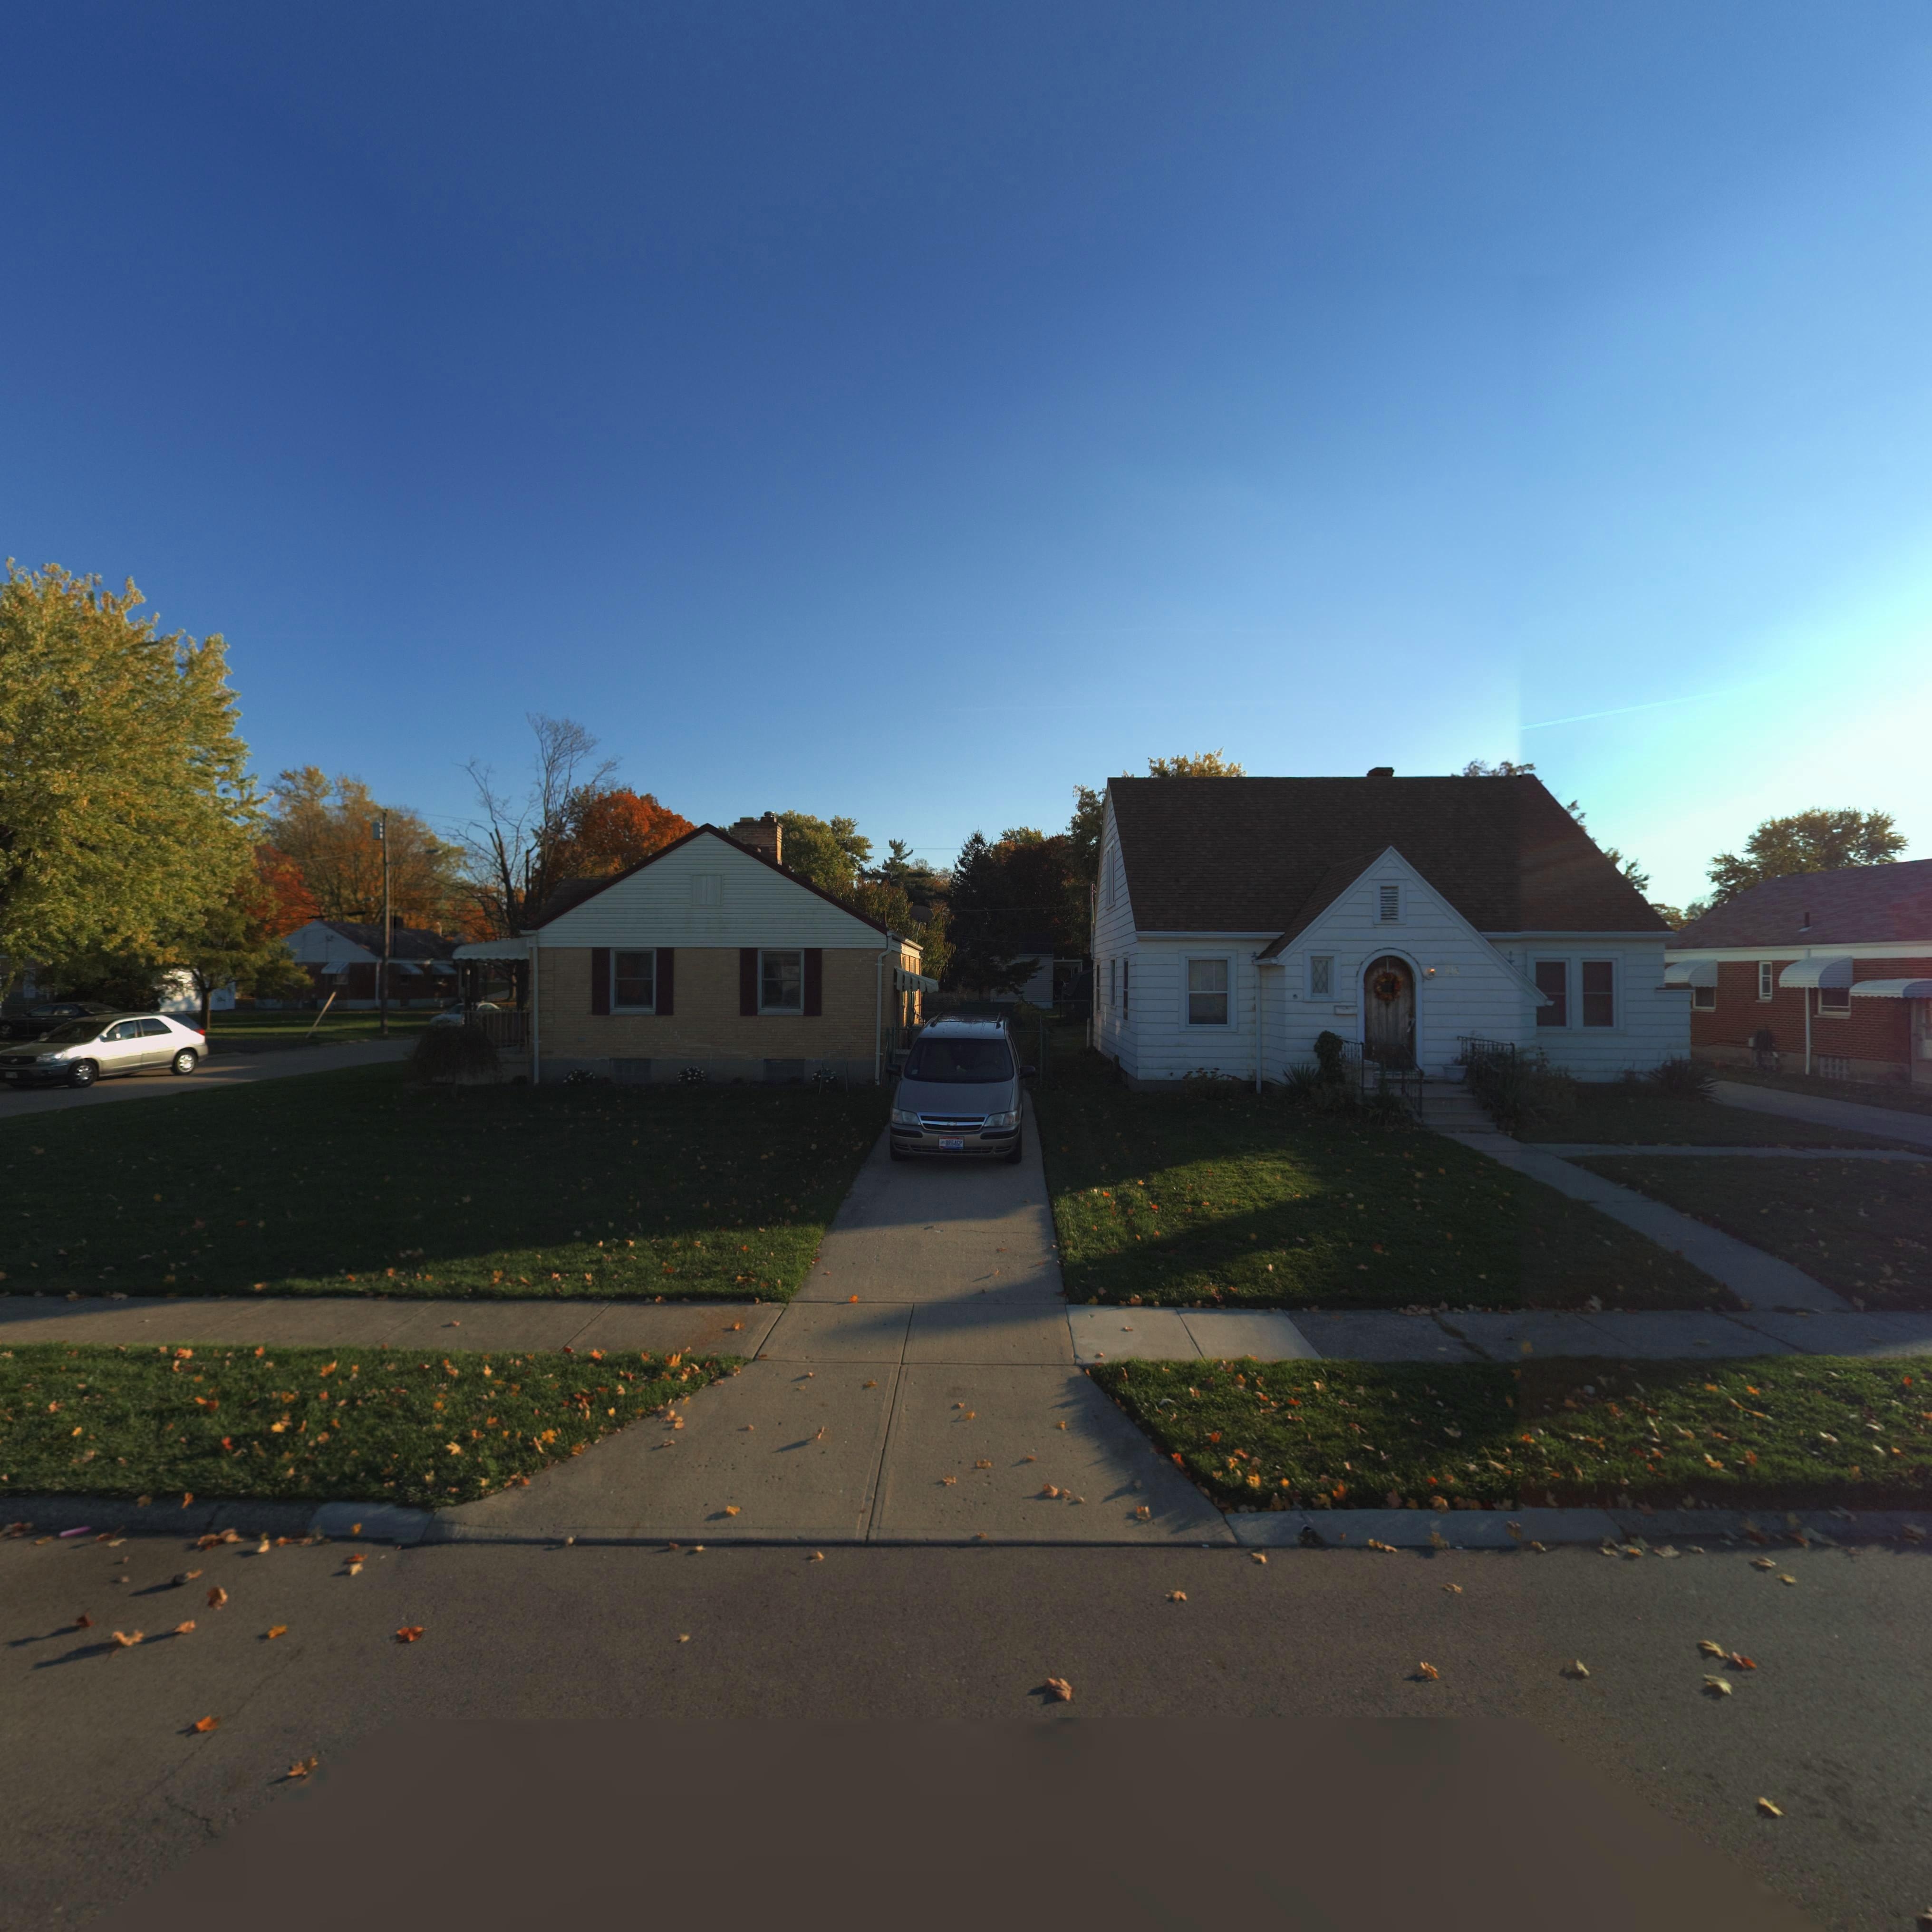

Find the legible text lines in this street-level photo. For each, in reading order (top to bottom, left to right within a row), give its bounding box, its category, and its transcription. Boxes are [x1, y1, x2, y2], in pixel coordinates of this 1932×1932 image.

[1443, 965, 1459, 975] StreetNumber: 216